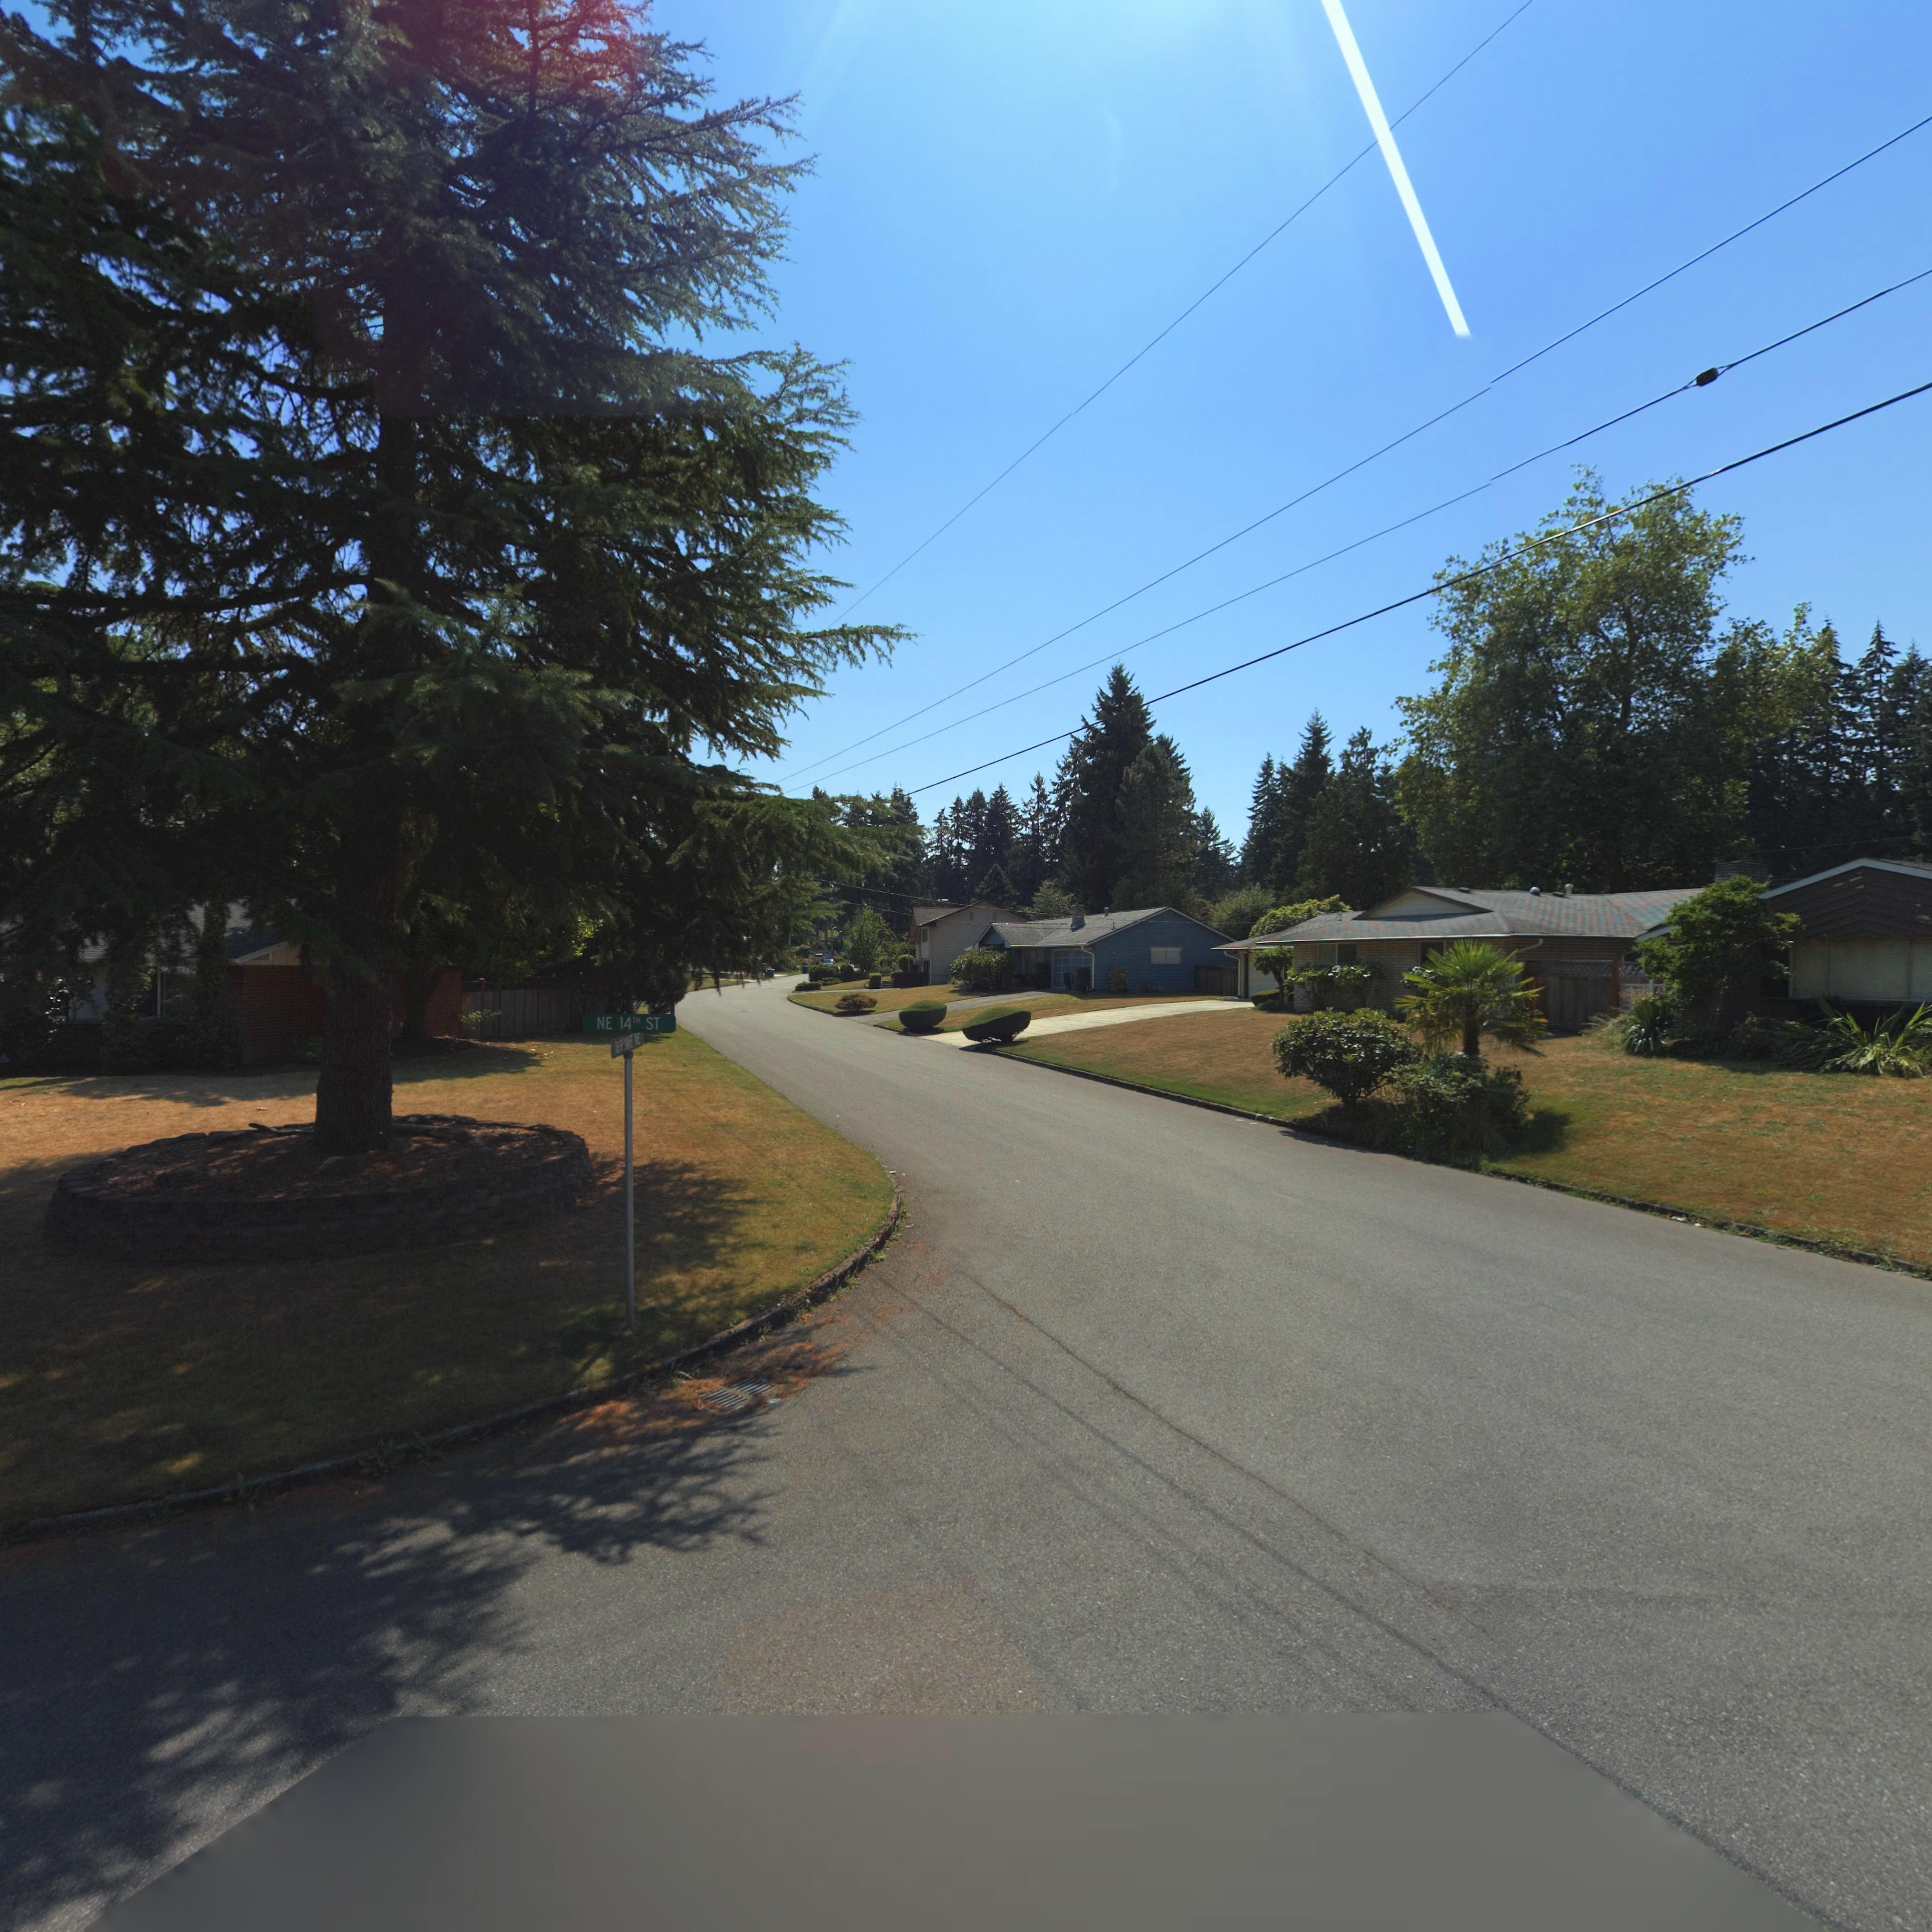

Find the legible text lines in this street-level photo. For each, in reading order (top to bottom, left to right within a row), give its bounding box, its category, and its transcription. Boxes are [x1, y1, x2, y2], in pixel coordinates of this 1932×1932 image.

[595, 1014, 660, 1031] StreetName: NE 14TH ST
[613, 1031, 640, 1055] StreetName: 169* AVE *E